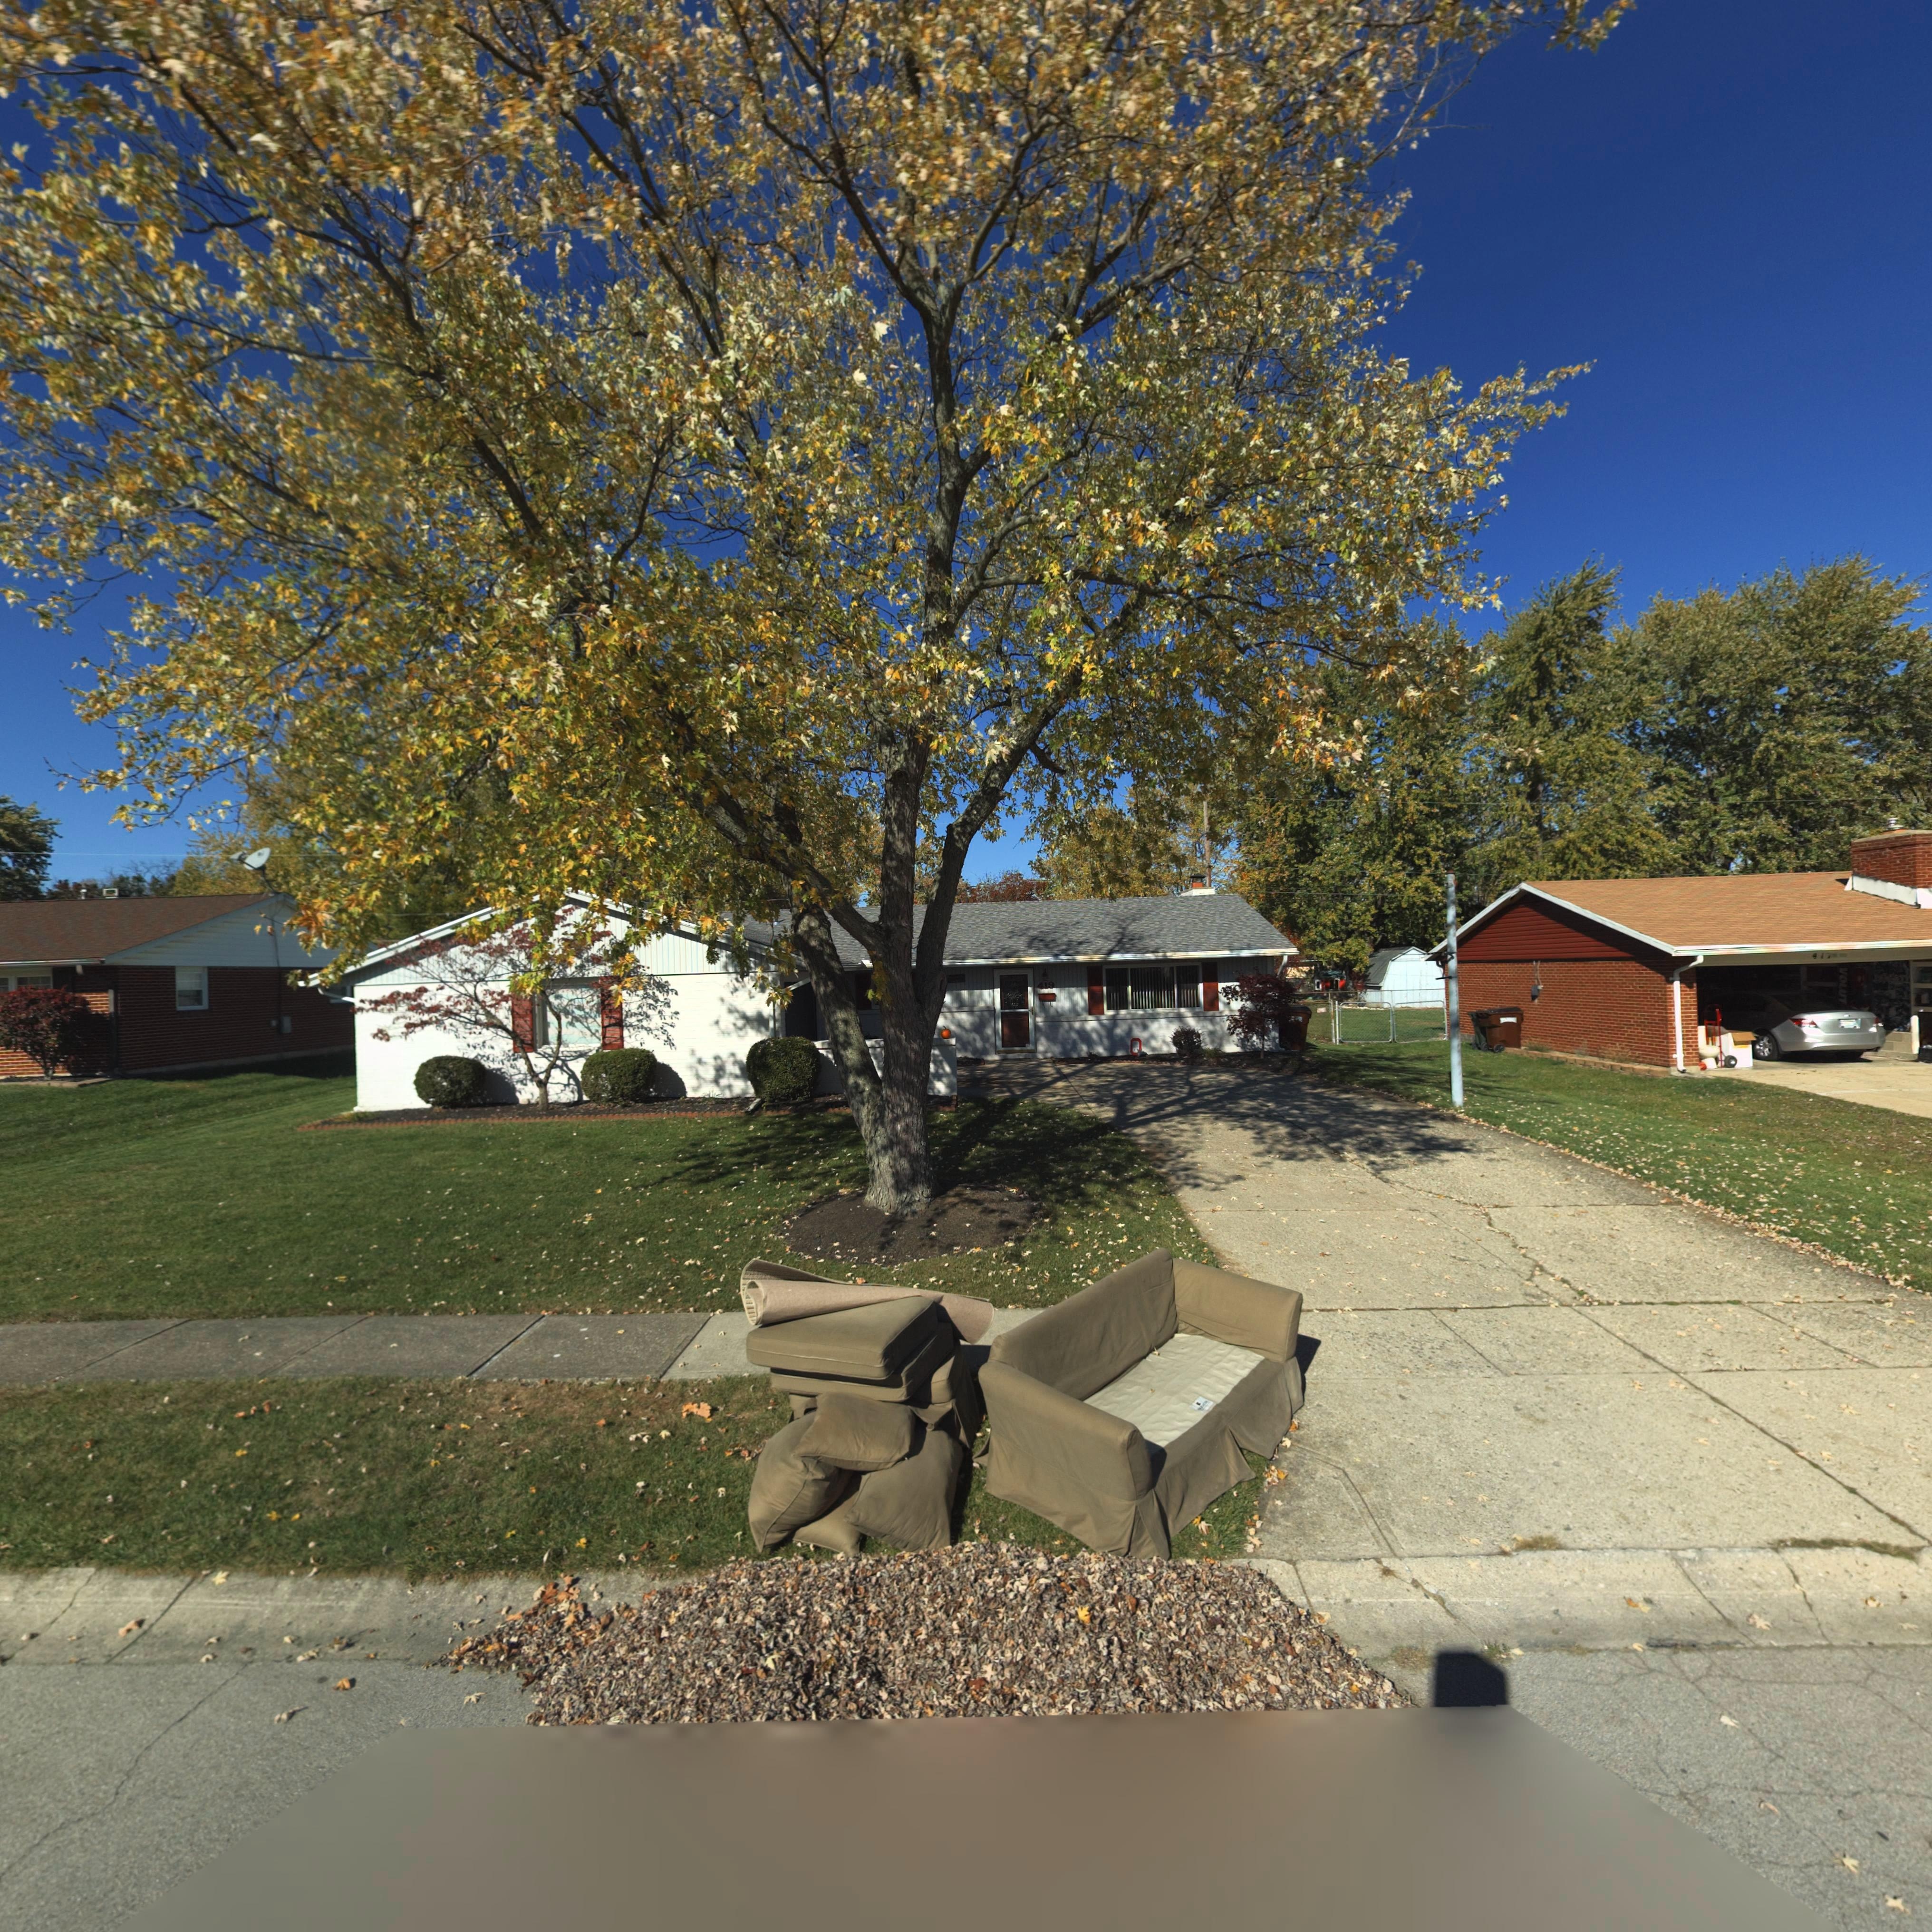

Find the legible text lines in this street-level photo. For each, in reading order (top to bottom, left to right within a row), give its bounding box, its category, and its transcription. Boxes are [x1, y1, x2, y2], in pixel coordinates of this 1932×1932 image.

[1811, 951, 1826, 960] StreetNumber: 41
[1036, 980, 1056, 991] StreetNumber: 419